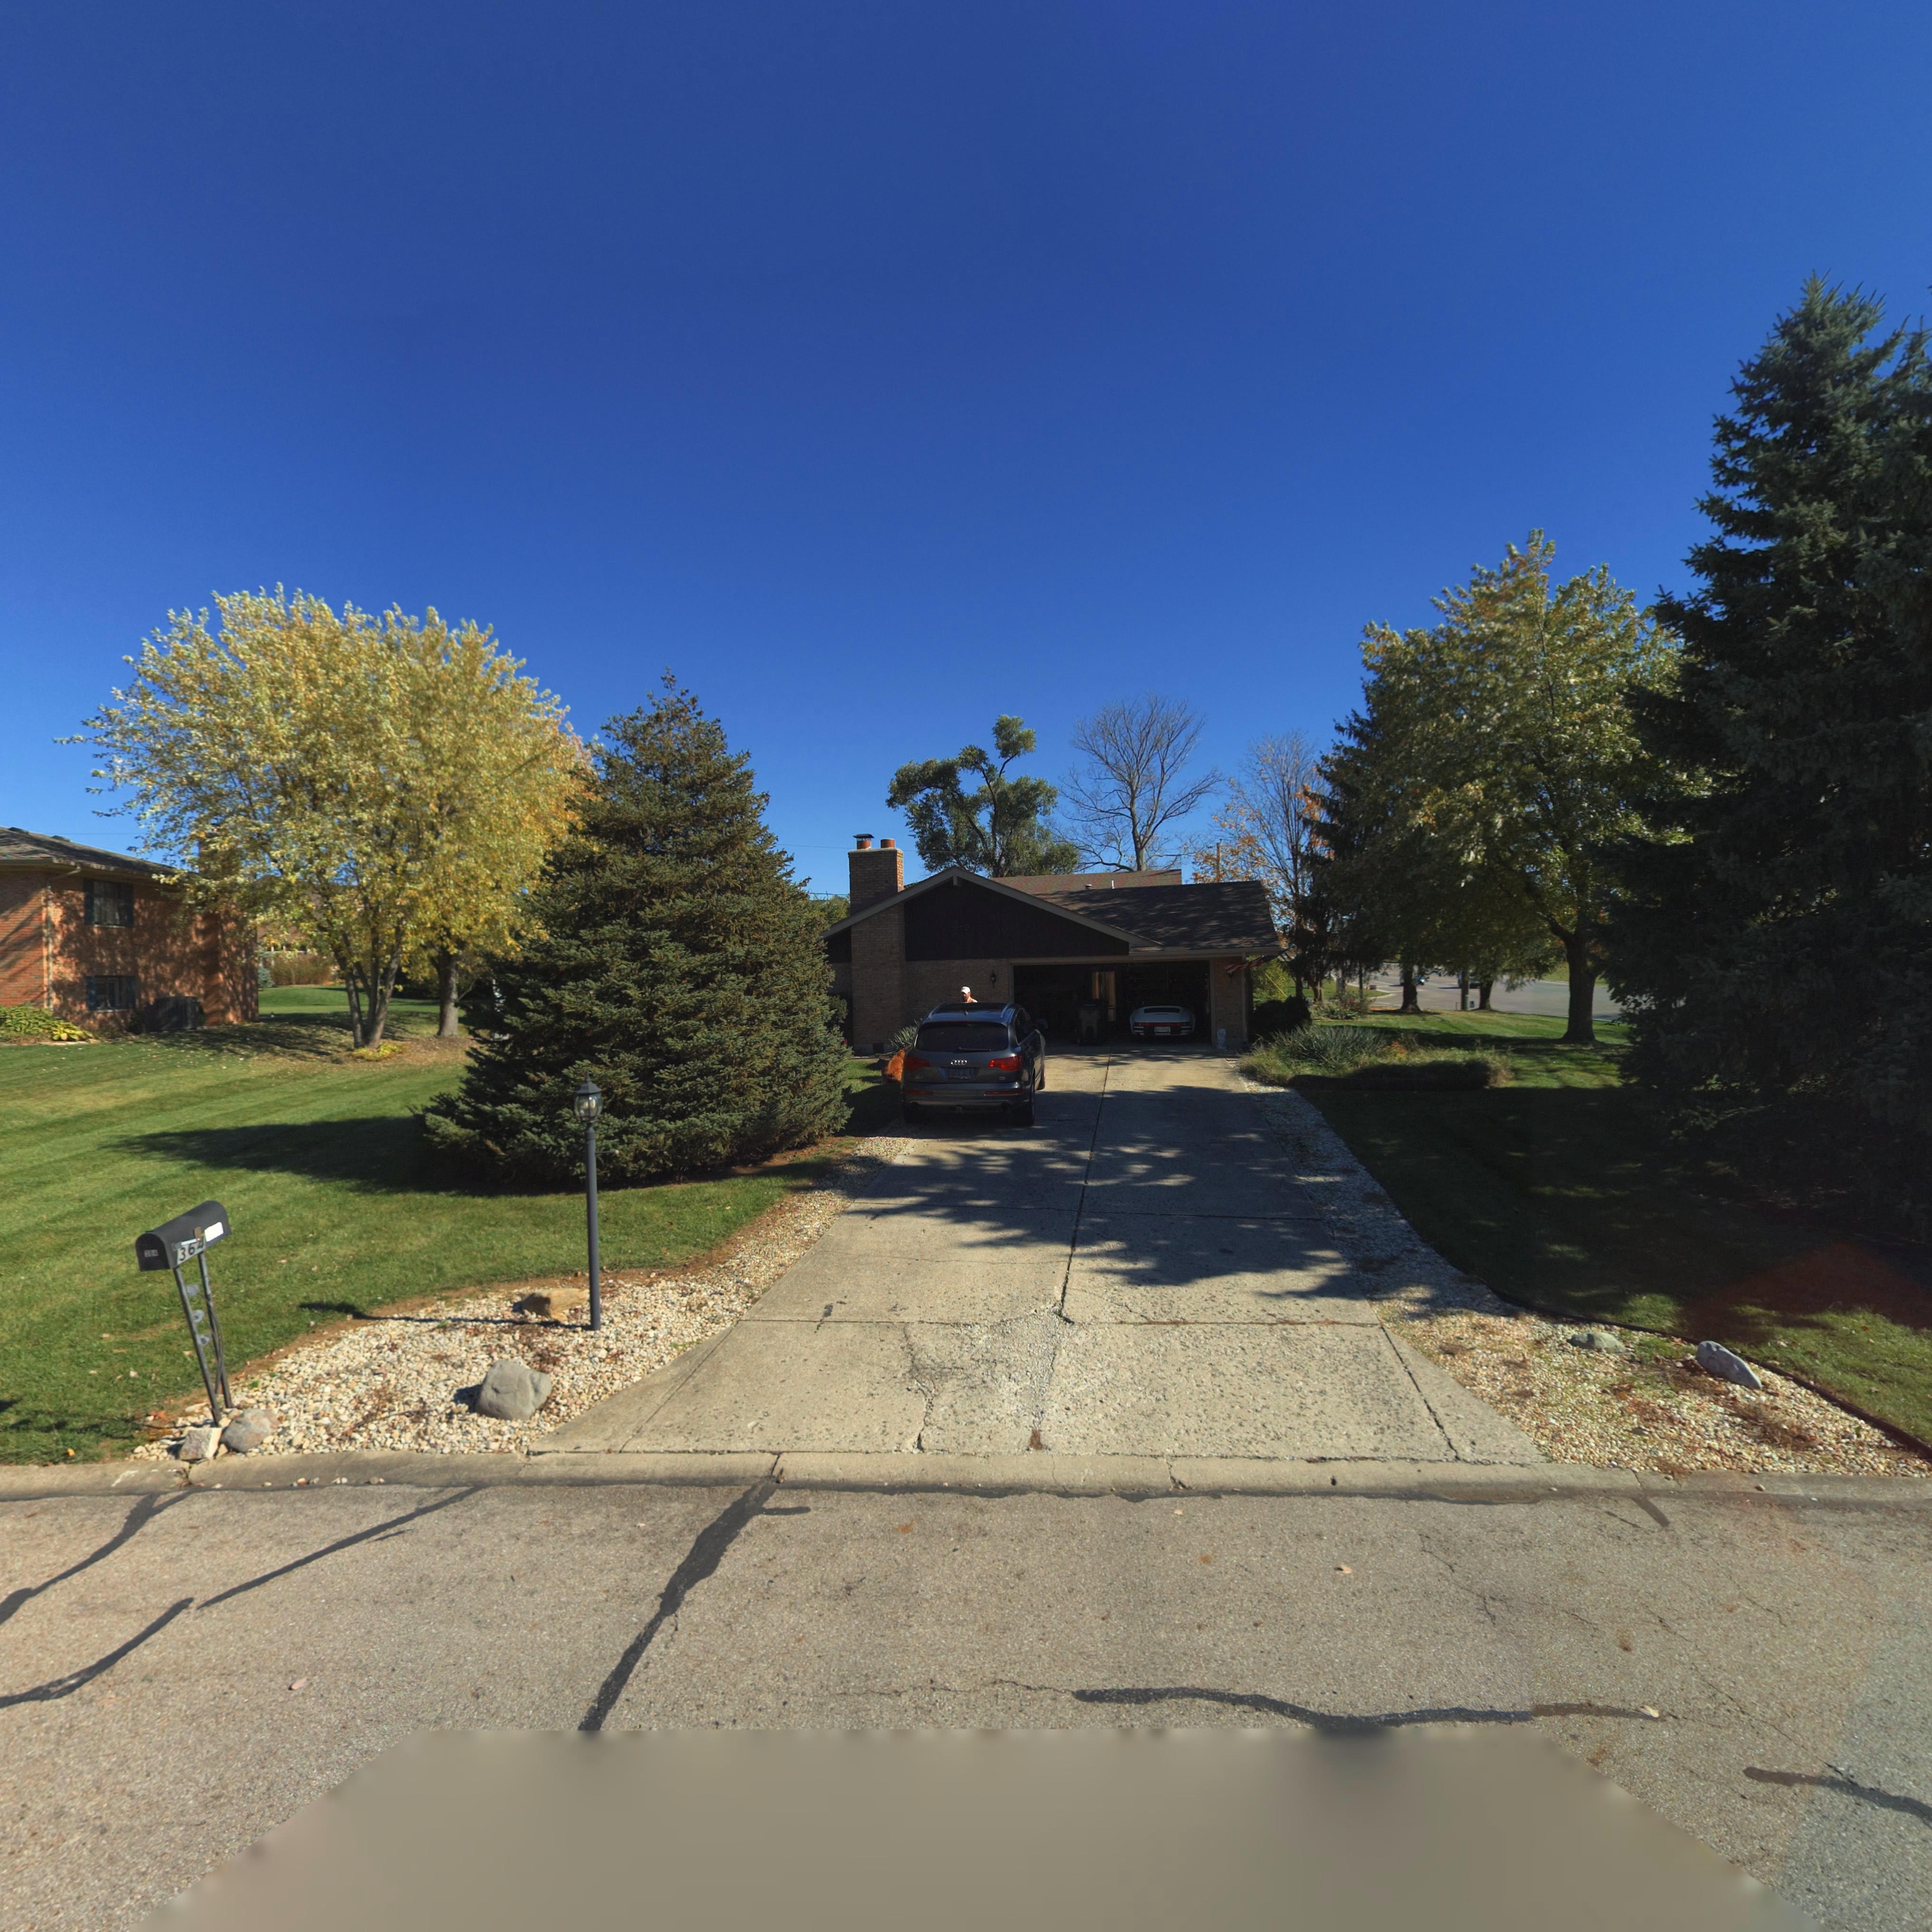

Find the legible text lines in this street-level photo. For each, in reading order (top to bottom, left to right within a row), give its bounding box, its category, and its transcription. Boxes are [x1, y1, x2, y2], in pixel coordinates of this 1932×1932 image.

[178, 1232, 206, 1263] StreetNumber: 36*